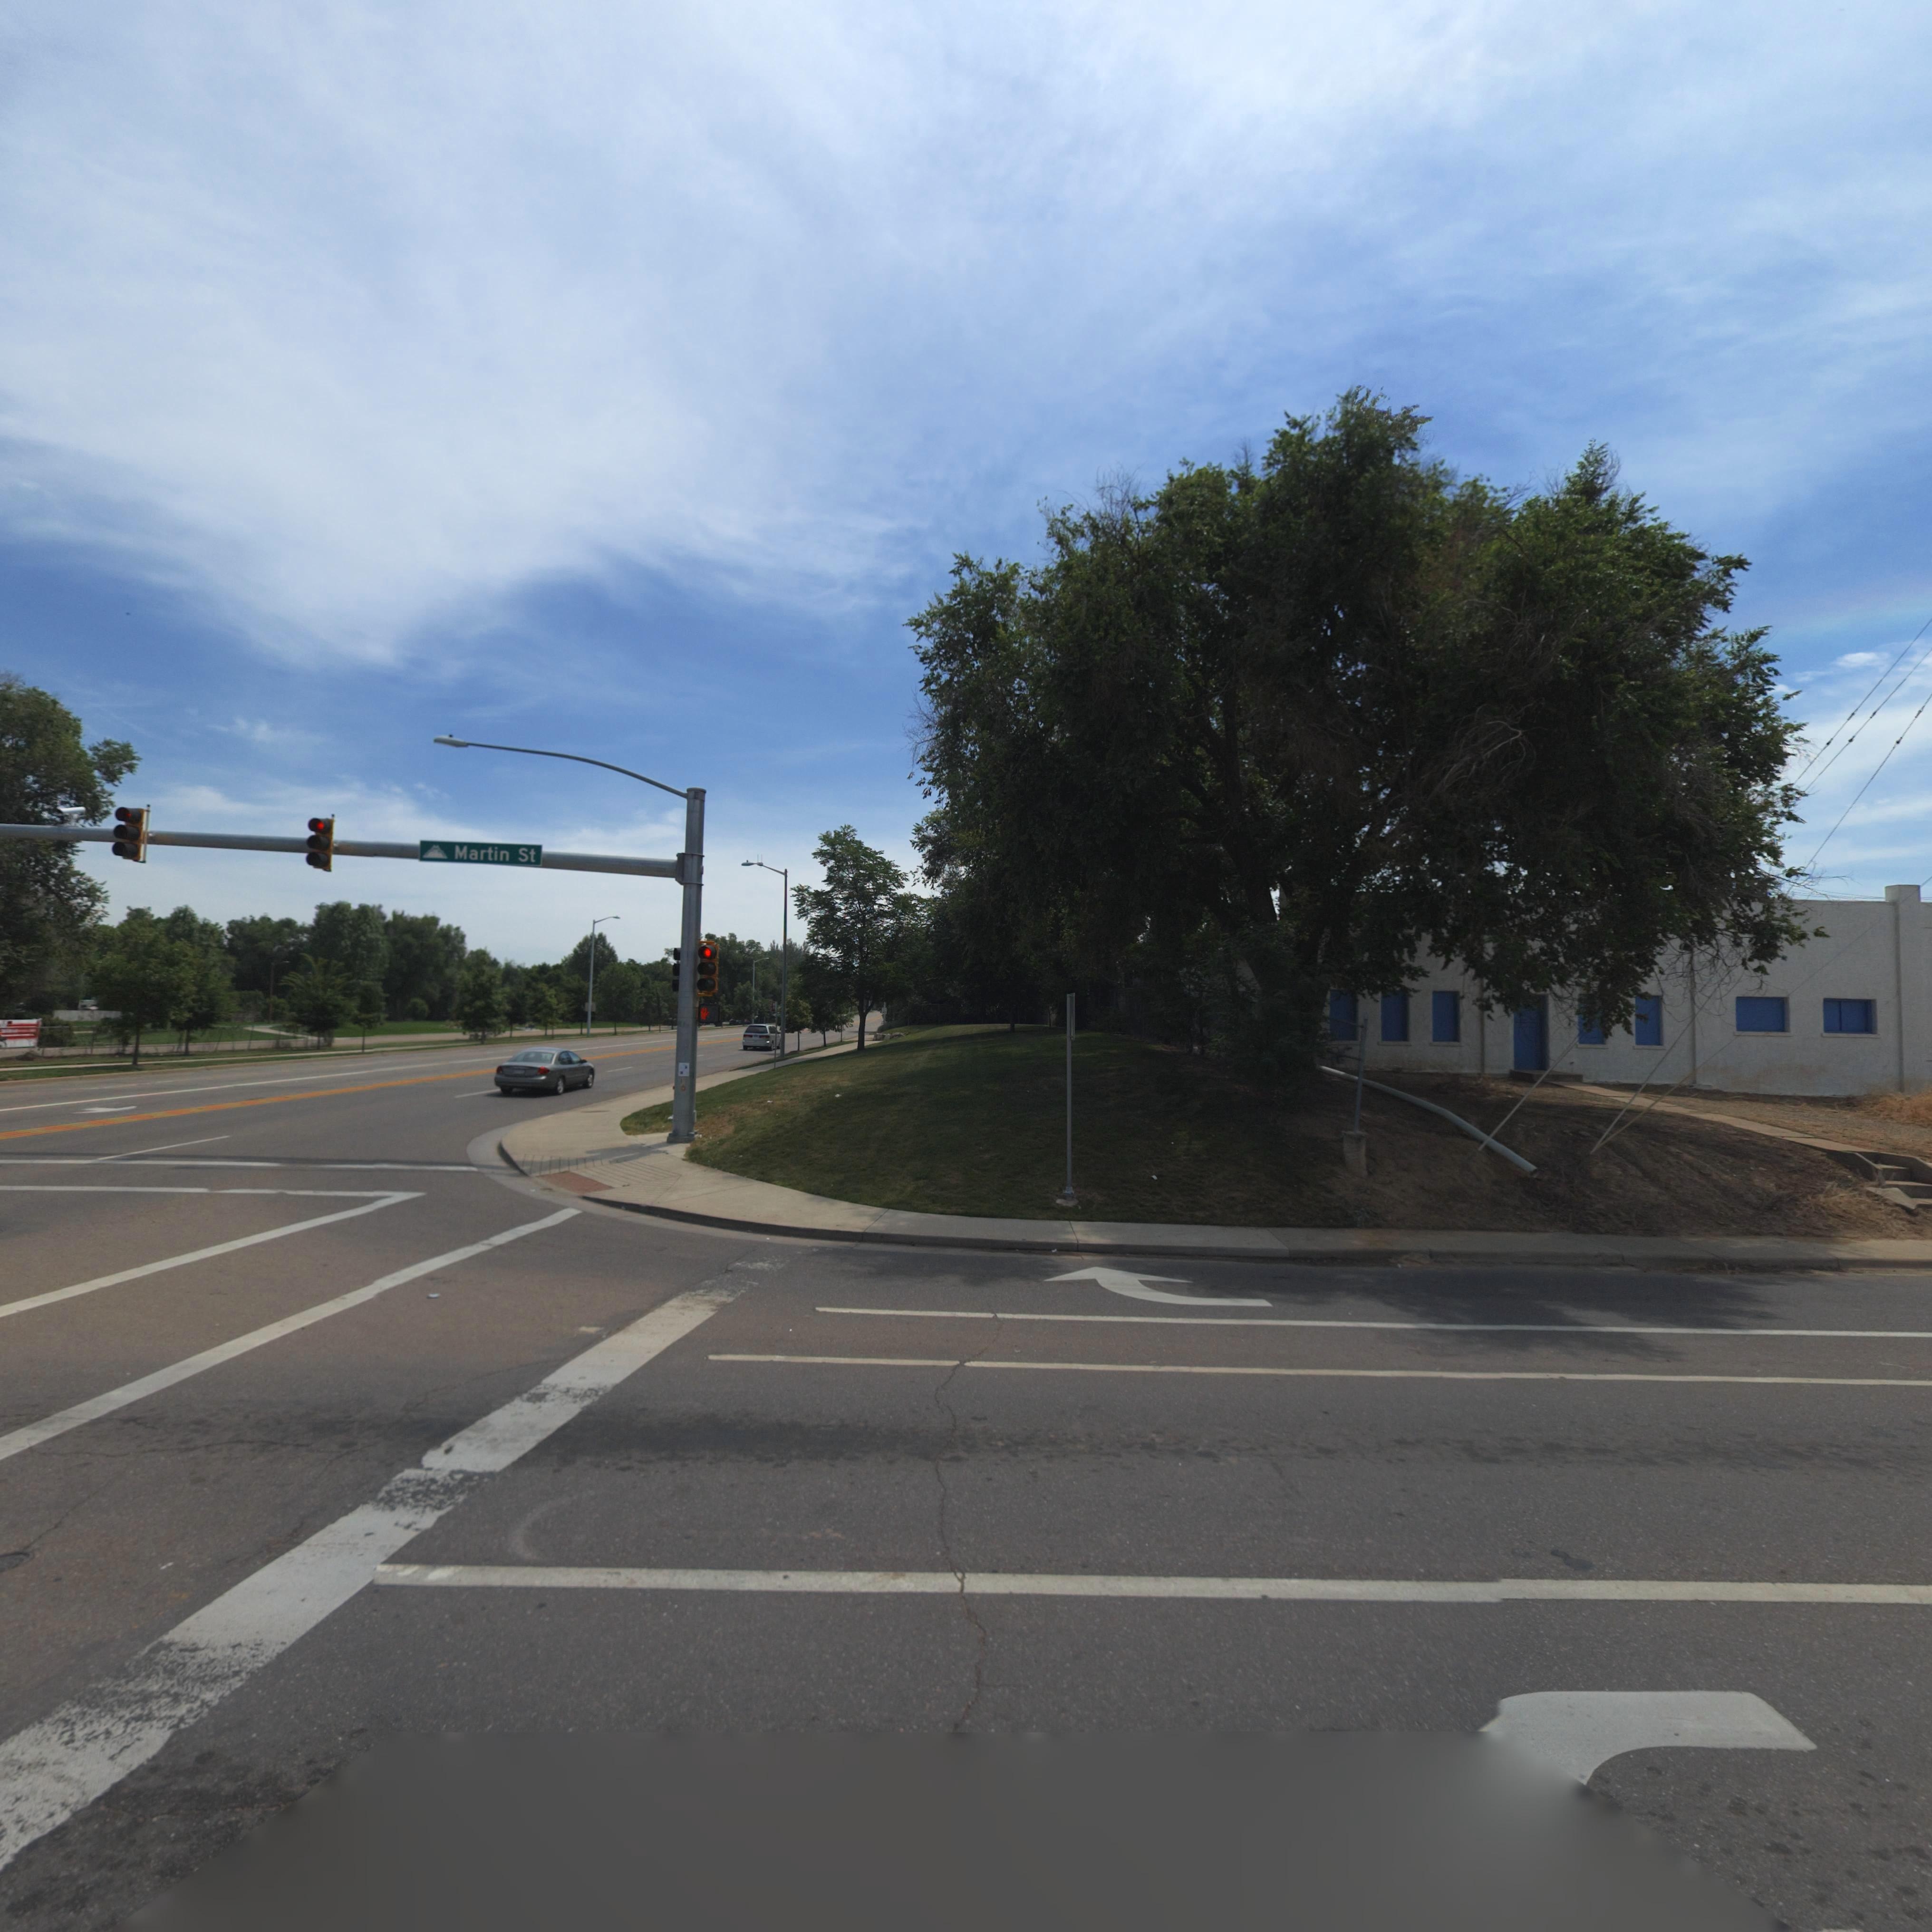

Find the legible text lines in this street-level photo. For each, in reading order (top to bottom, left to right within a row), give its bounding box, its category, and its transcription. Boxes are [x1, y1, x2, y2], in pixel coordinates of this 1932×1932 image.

[454, 844, 535, 862] StreetName: Martin St